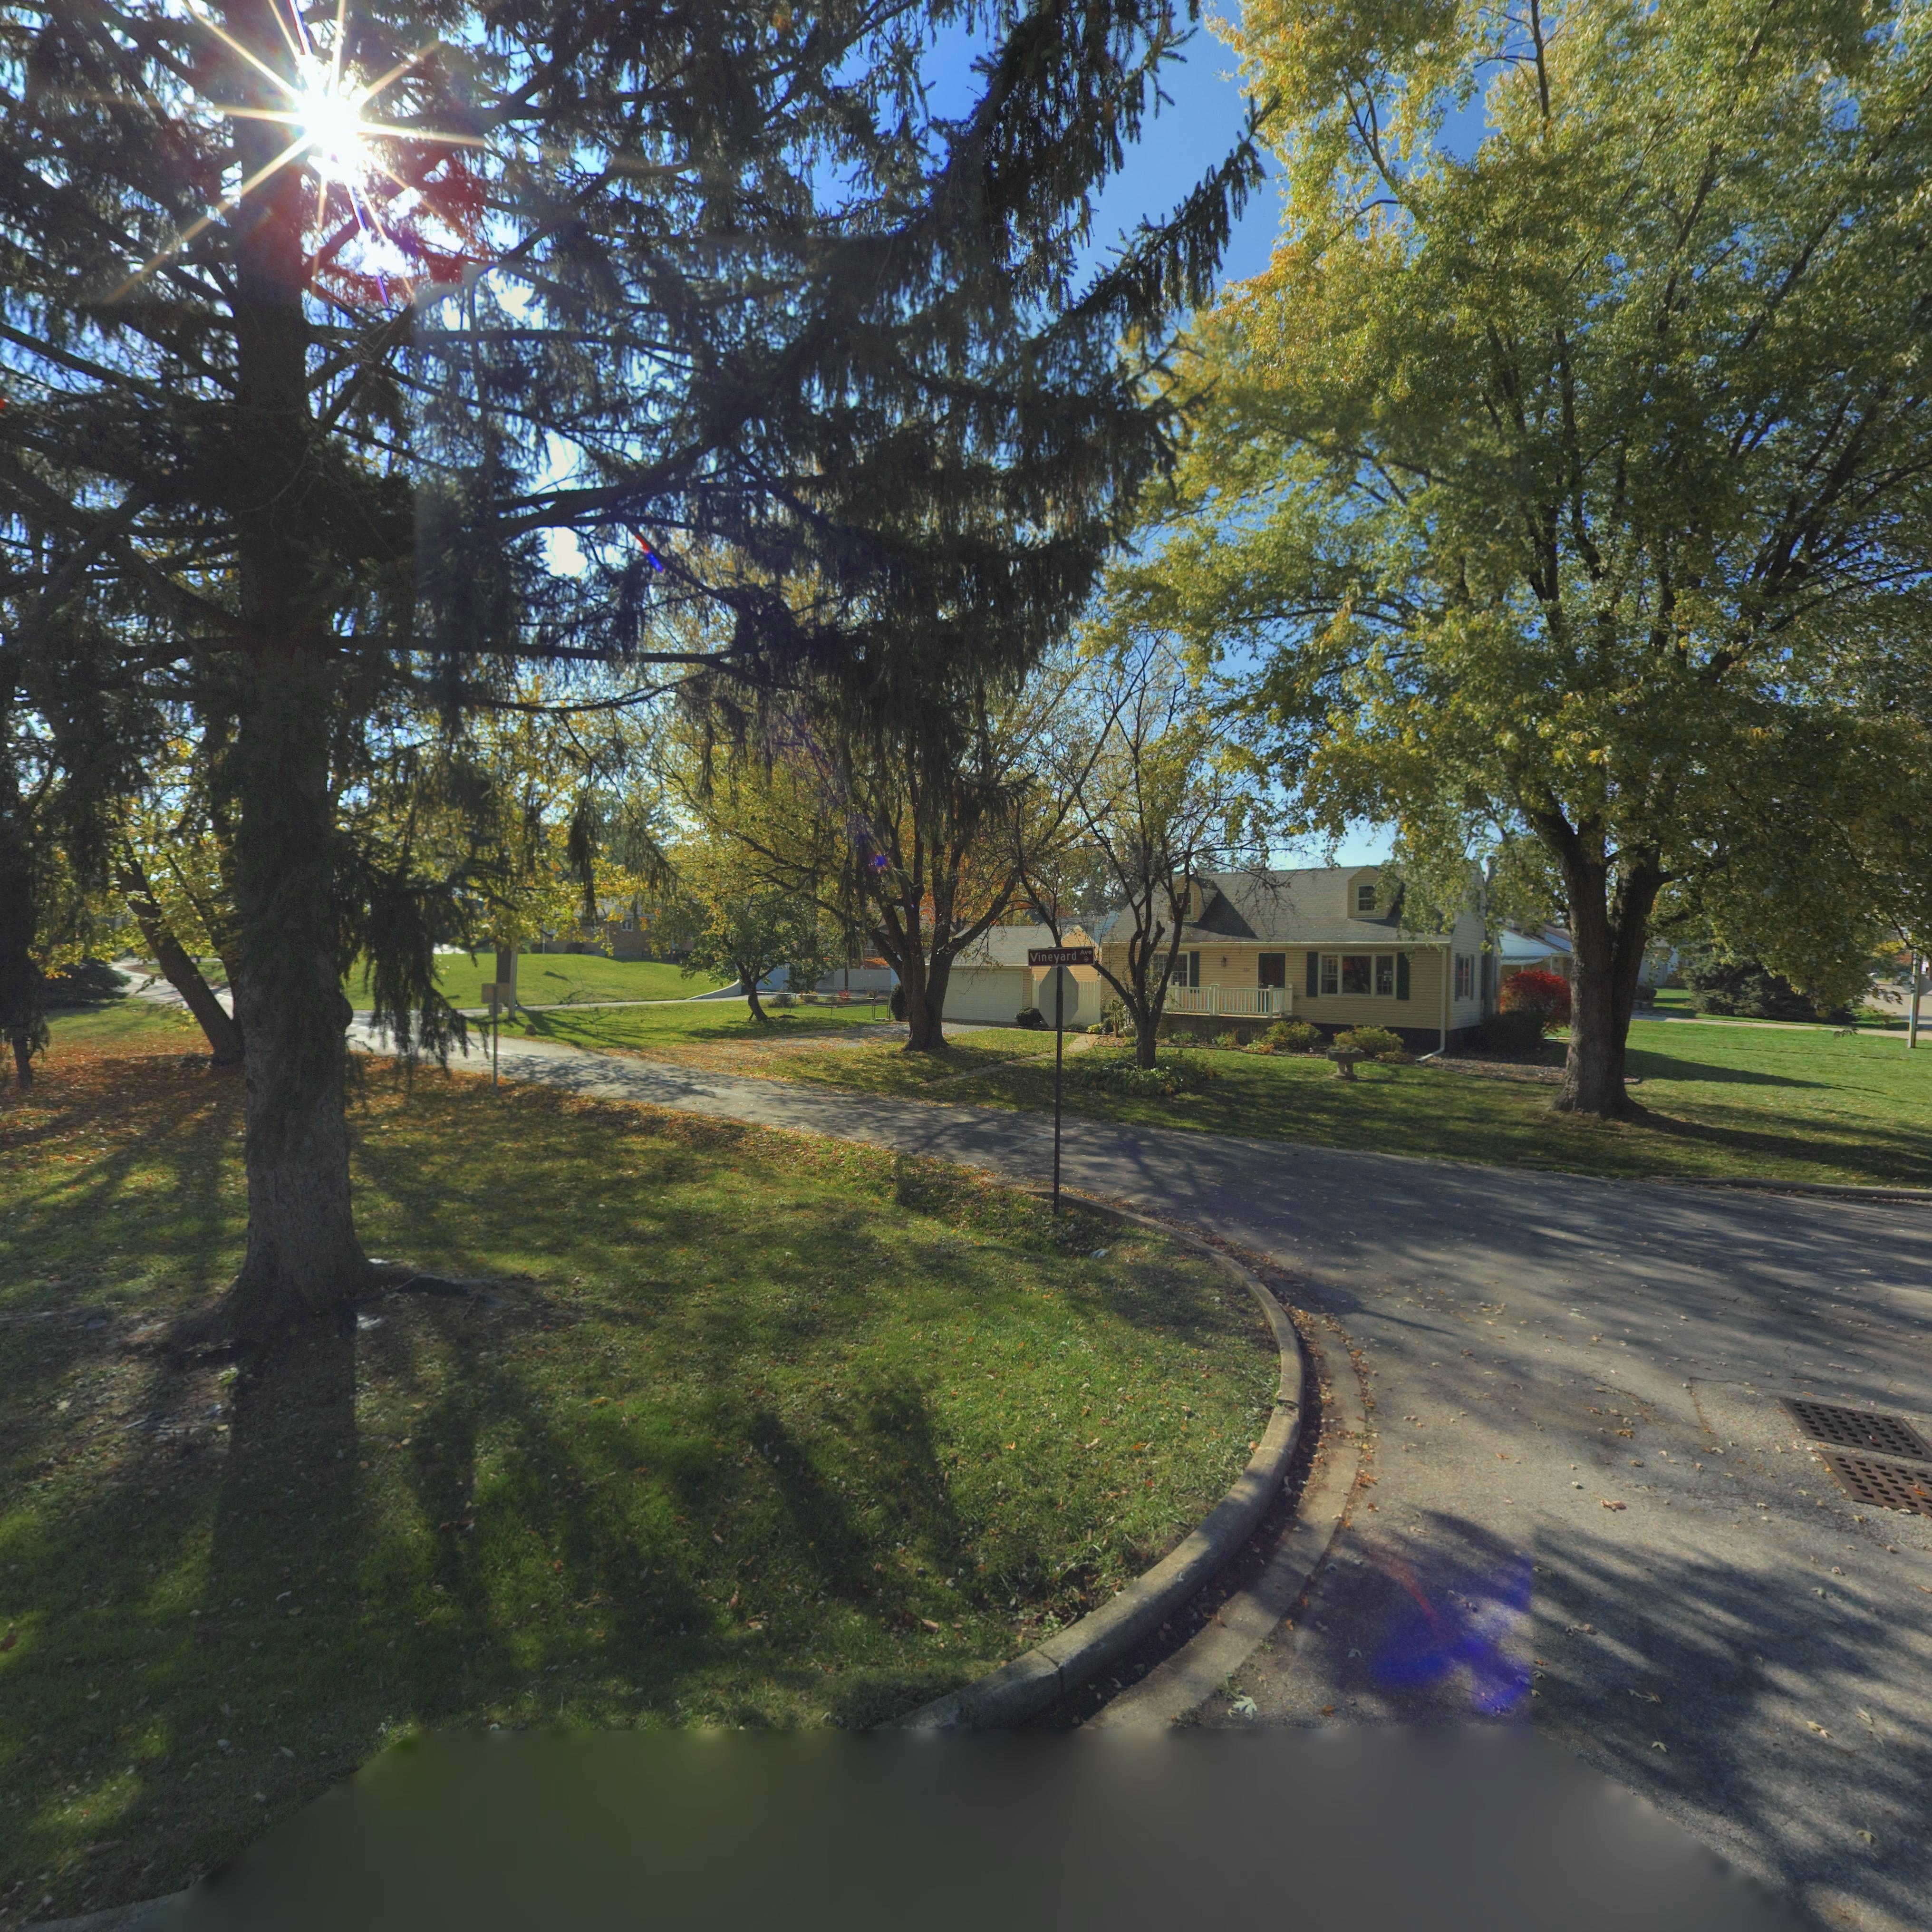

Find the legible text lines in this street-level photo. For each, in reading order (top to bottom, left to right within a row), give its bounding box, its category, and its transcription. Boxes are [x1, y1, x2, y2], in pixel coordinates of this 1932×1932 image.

[1028, 948, 1093, 966] StreetName: Vineyard Ave